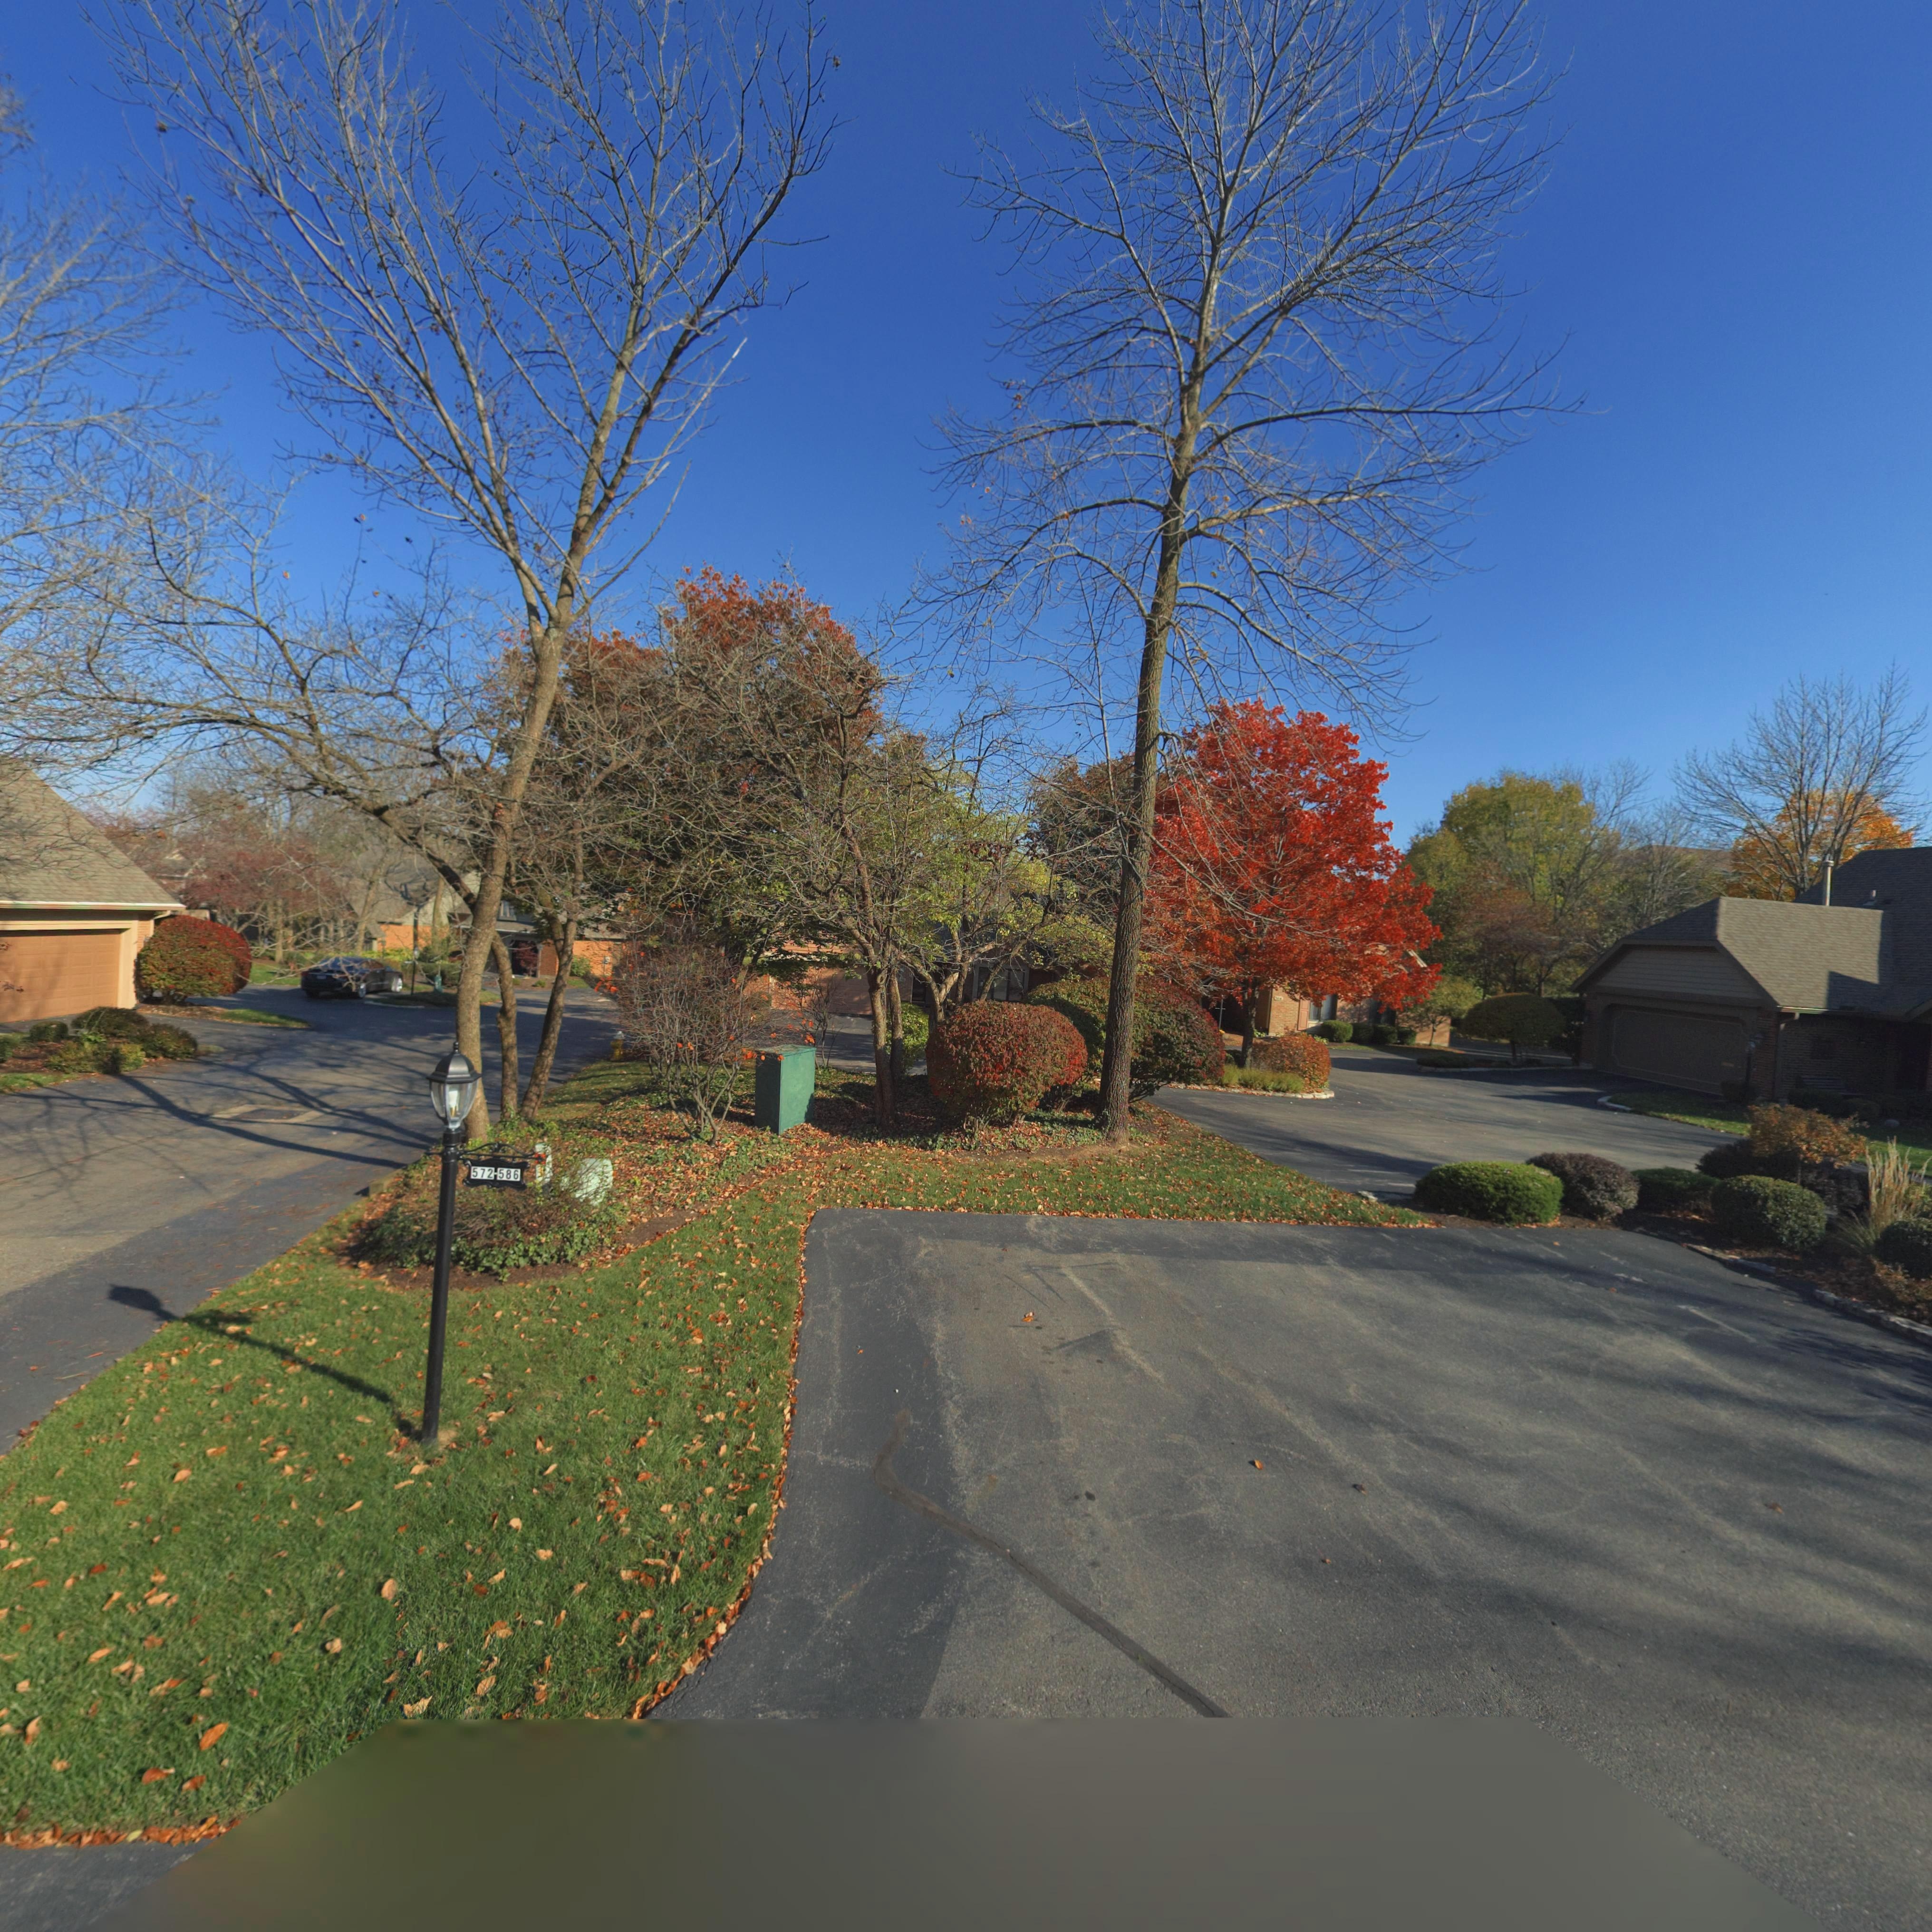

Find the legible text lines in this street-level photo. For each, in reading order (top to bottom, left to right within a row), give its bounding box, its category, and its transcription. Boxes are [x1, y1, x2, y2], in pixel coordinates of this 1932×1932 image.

[472, 1167, 494, 1179] StreetNumber: 572
[498, 1168, 520, 1180] StreetNumber: 586